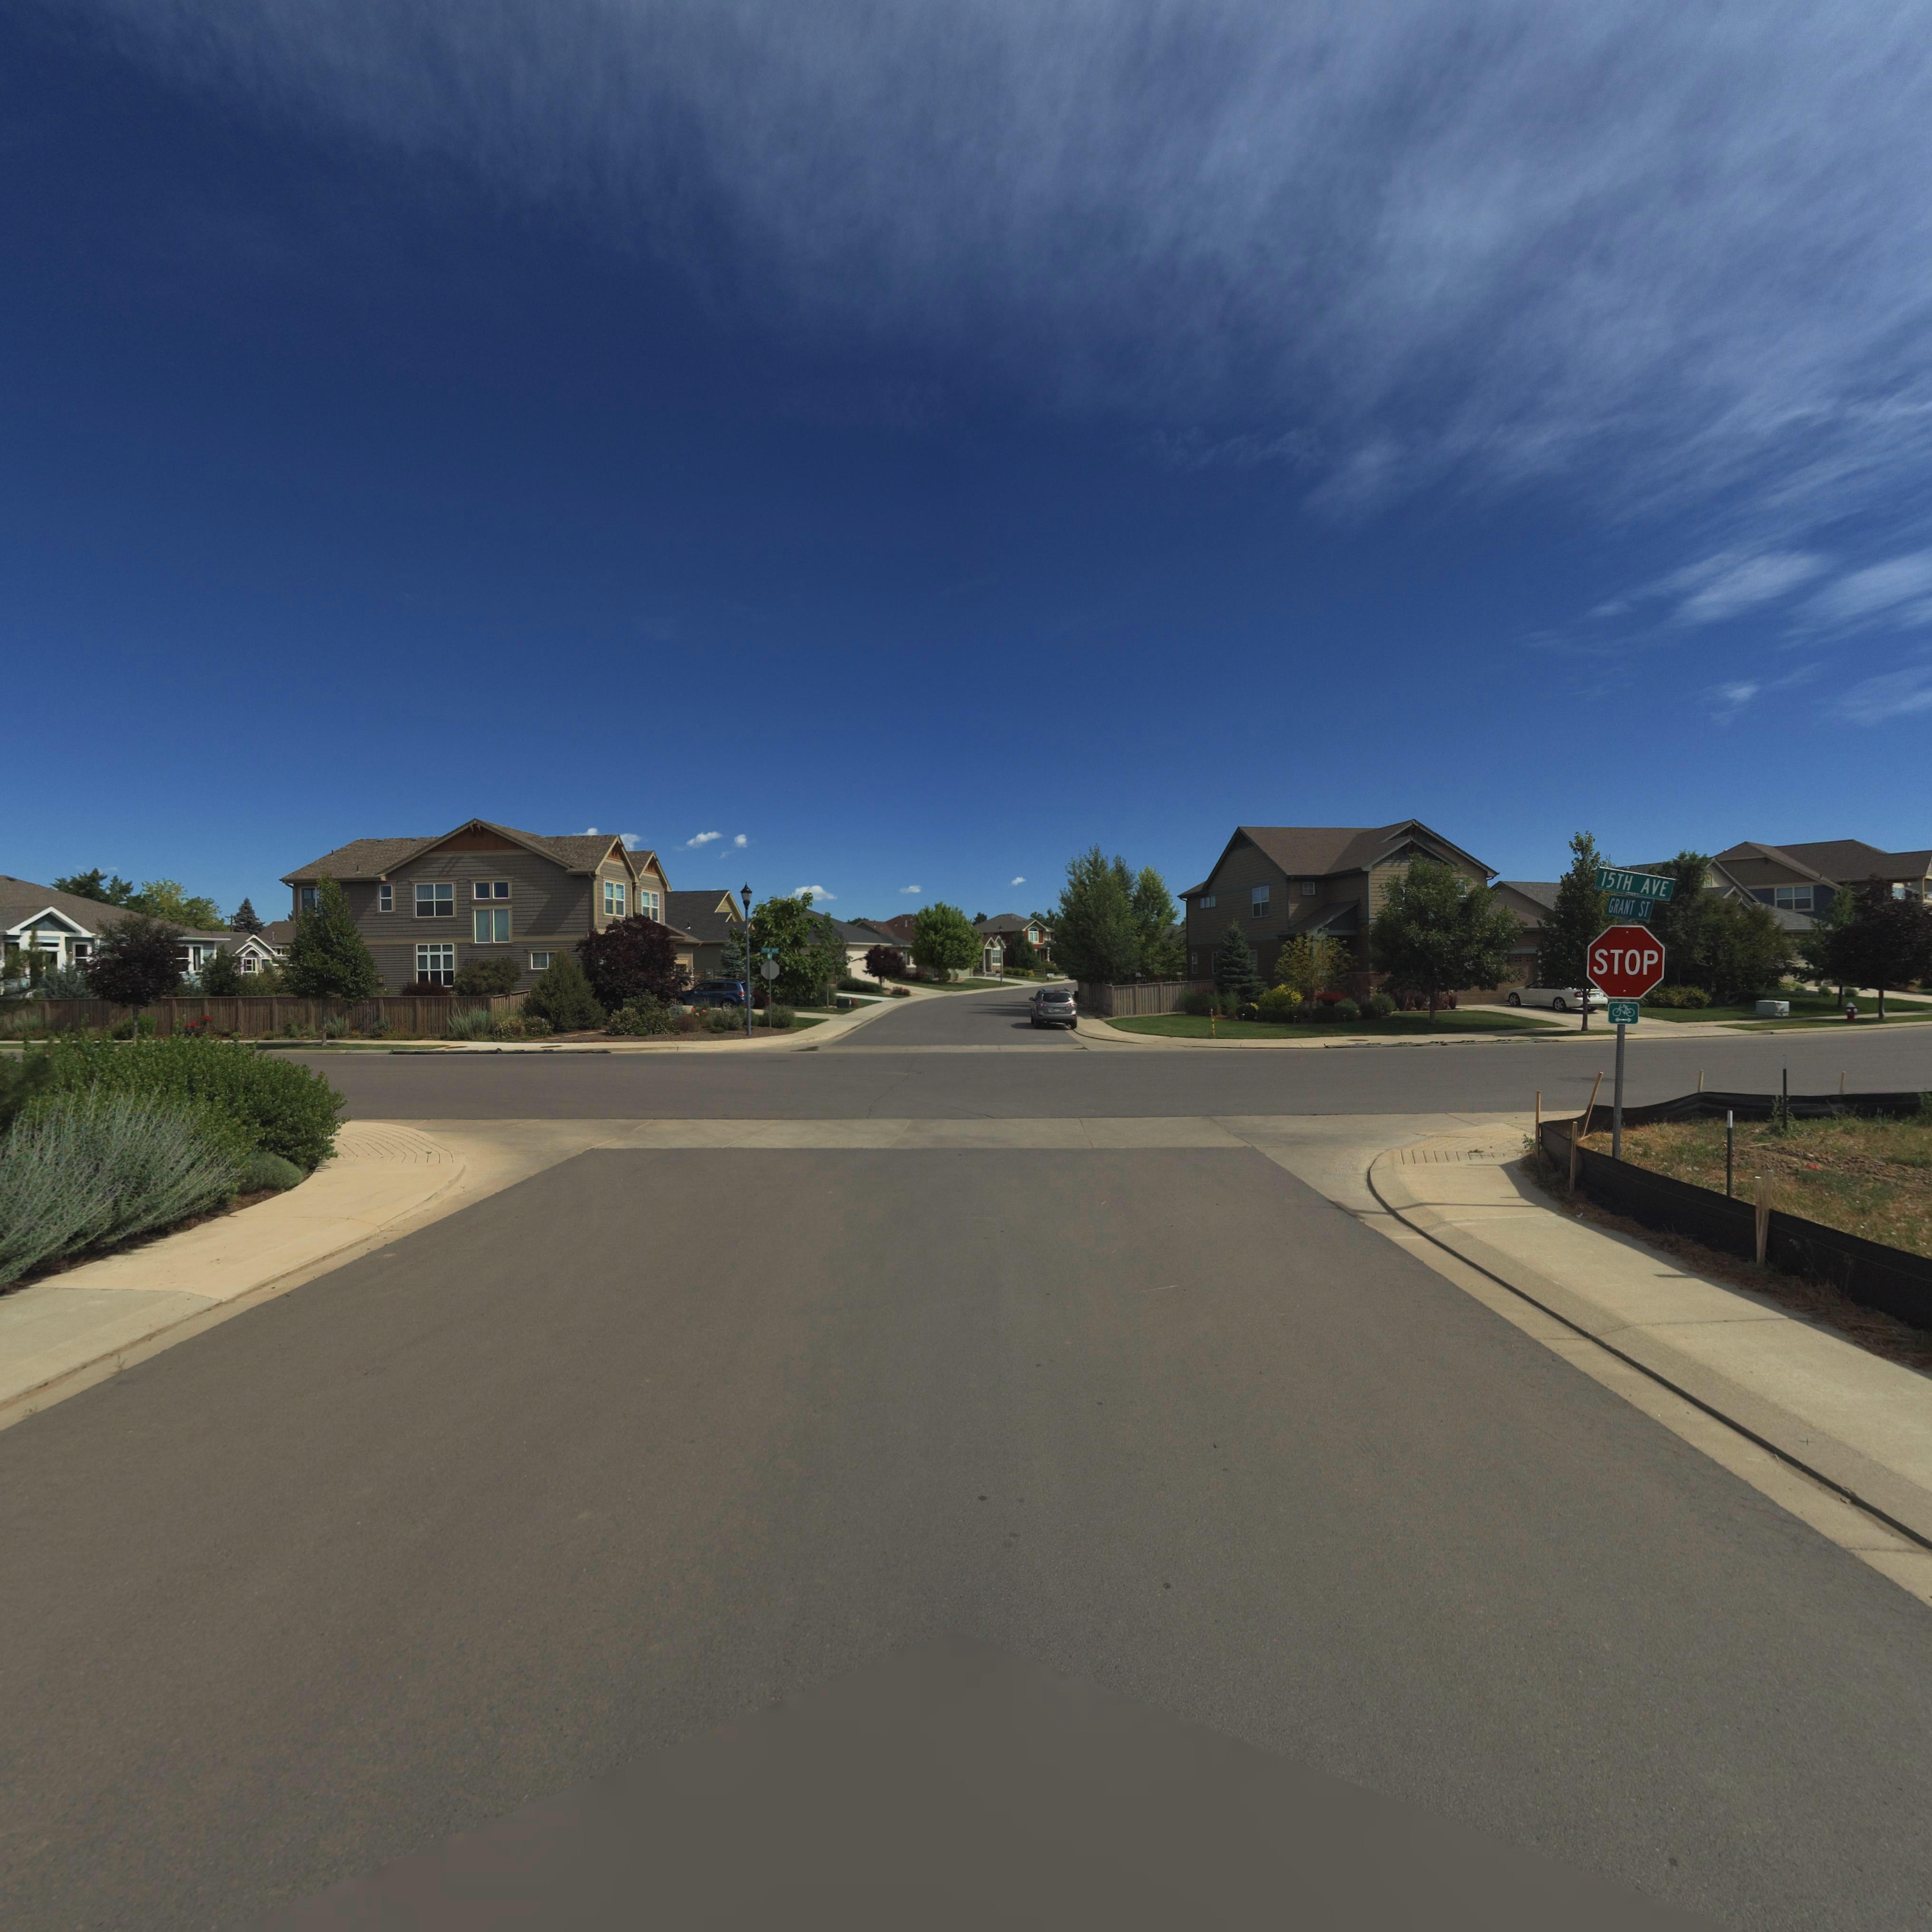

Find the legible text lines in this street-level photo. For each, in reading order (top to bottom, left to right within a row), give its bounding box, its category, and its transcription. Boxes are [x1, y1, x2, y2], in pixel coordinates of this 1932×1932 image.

[1600, 870, 1670, 897] StreetName: 15TH AVE
[1608, 897, 1651, 918] StreetName: GRANT ST
[762, 947, 778, 953] StreetName: 15** ***